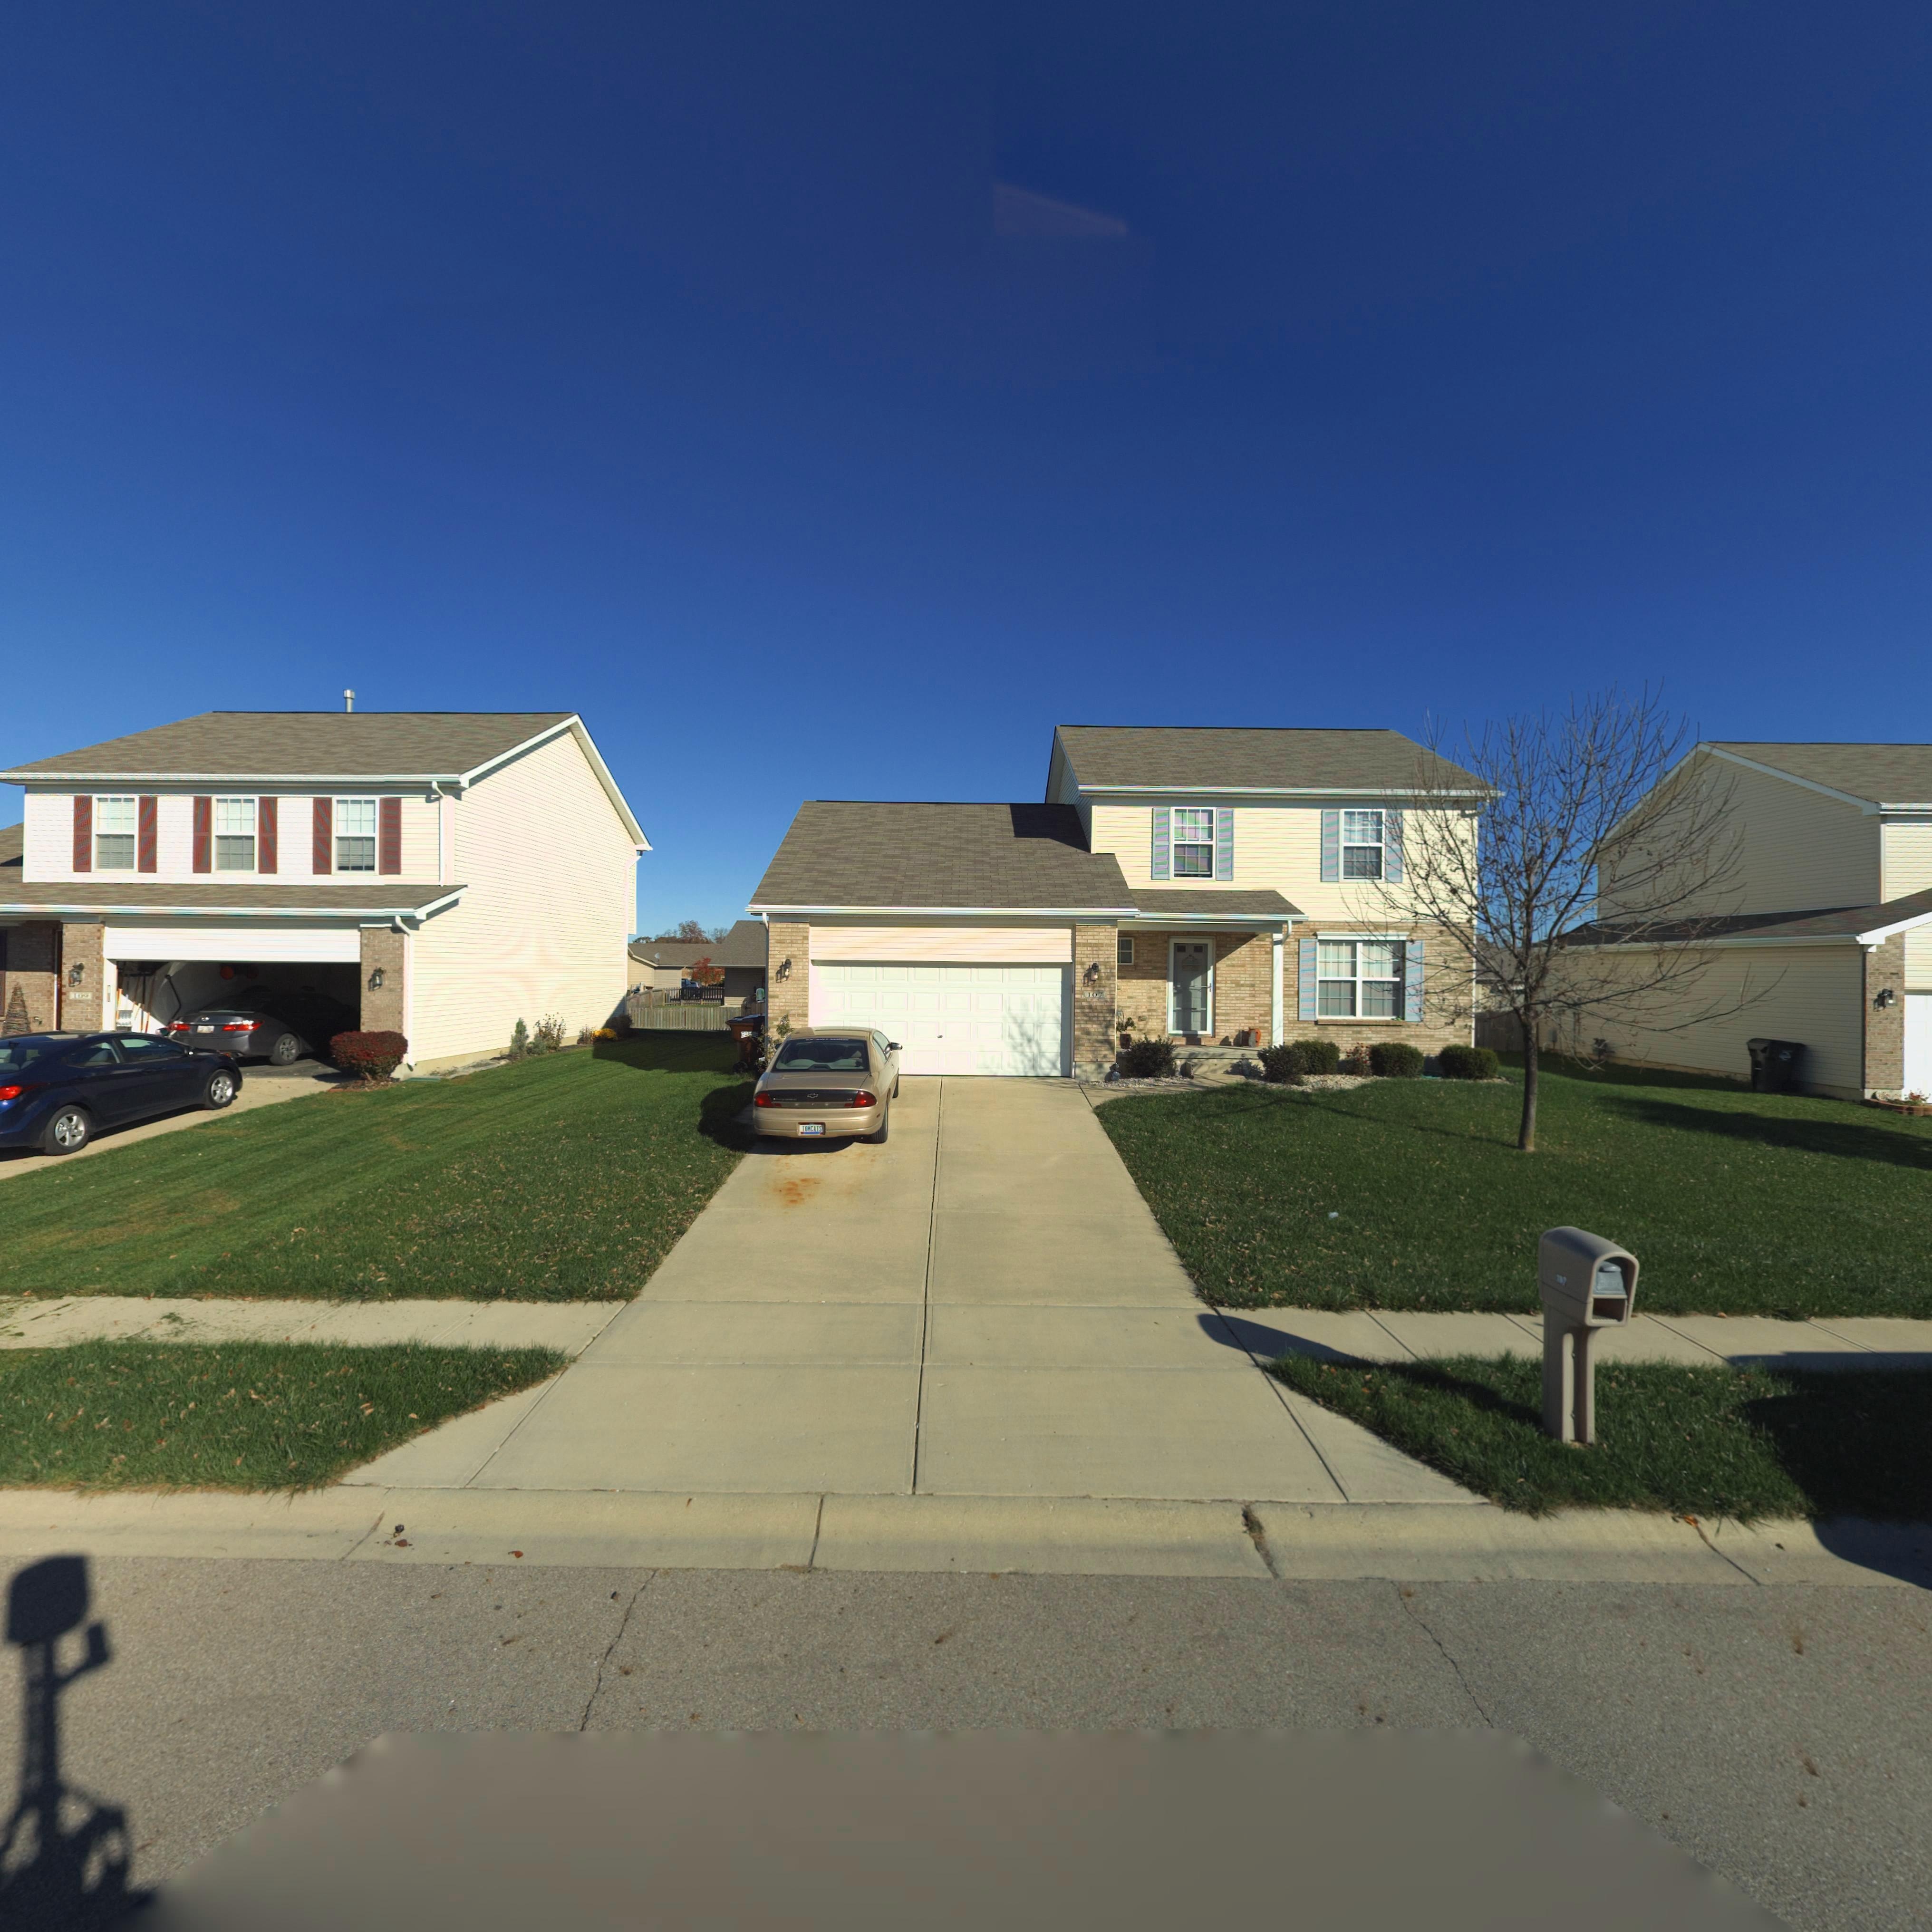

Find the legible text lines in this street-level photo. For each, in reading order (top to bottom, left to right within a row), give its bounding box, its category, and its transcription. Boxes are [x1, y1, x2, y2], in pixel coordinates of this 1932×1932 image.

[73, 992, 89, 1000] StreetNumber: 109
[1088, 991, 1103, 998] StreetNumber: 107